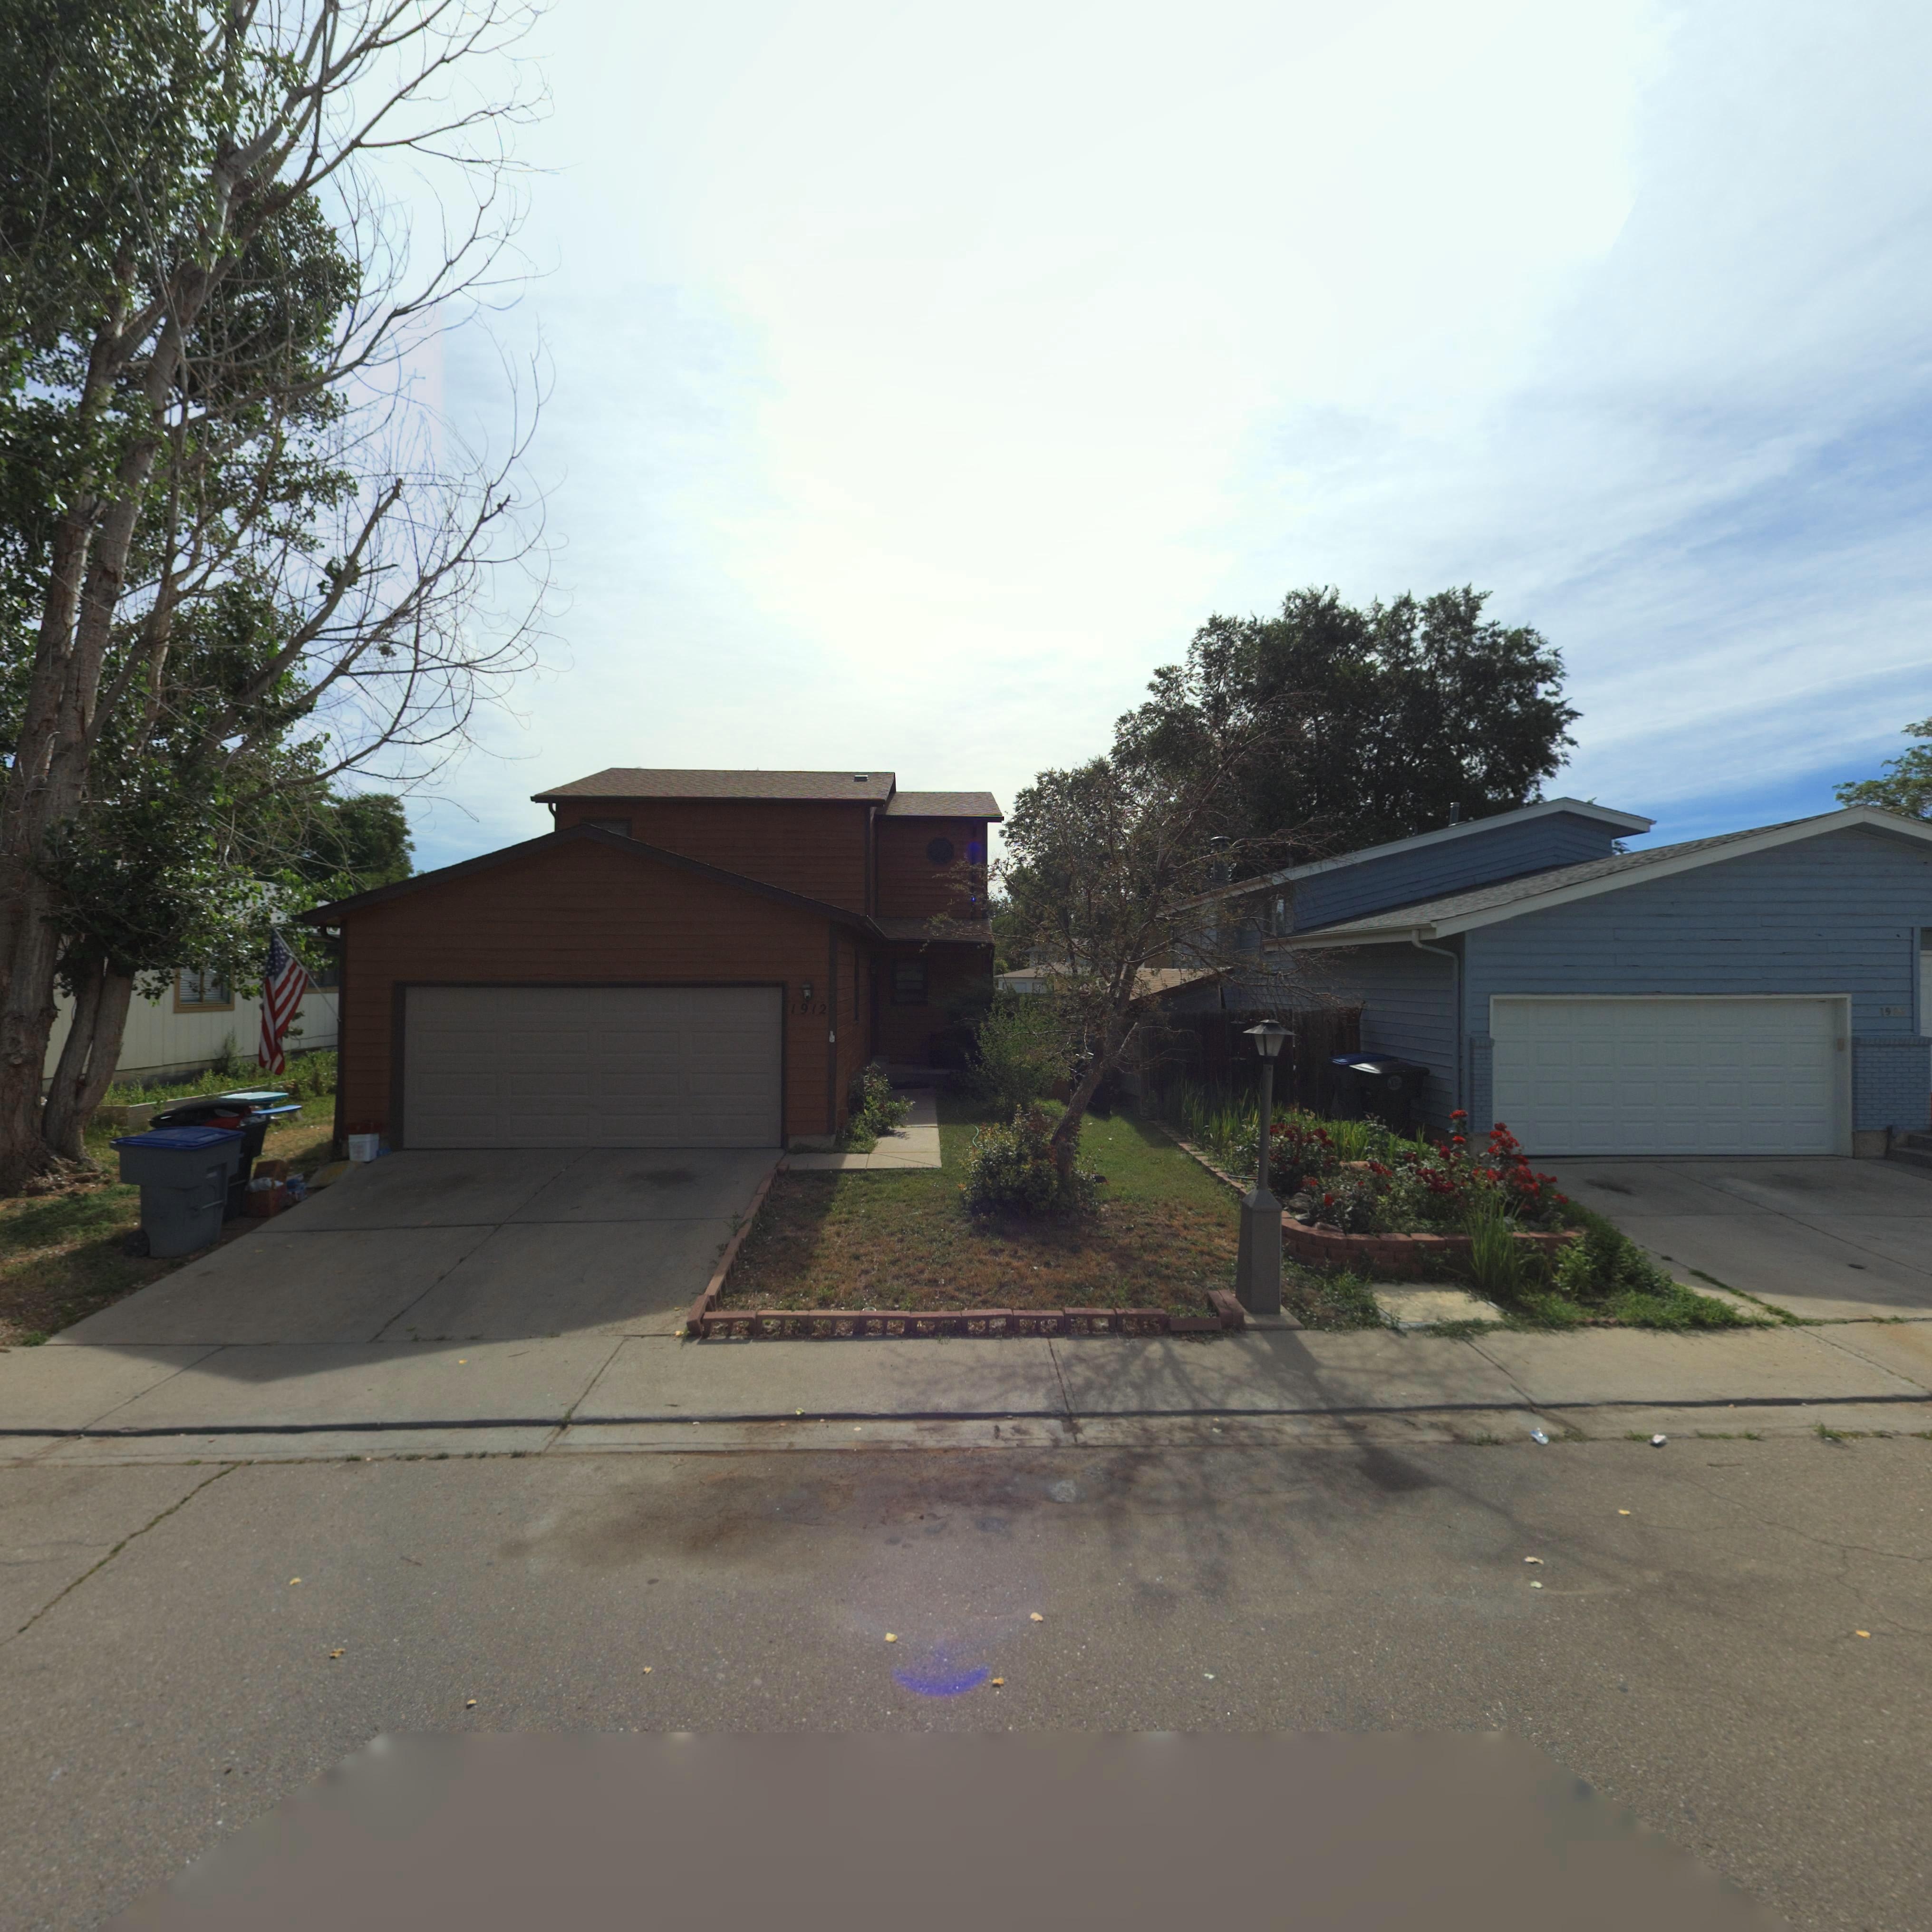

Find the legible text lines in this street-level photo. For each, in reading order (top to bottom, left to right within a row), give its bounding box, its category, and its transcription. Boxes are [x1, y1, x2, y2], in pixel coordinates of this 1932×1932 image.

[790, 1002, 827, 1014] StreetNumber: 1912
[1879, 1006, 1905, 1016] StreetNumber: 19**